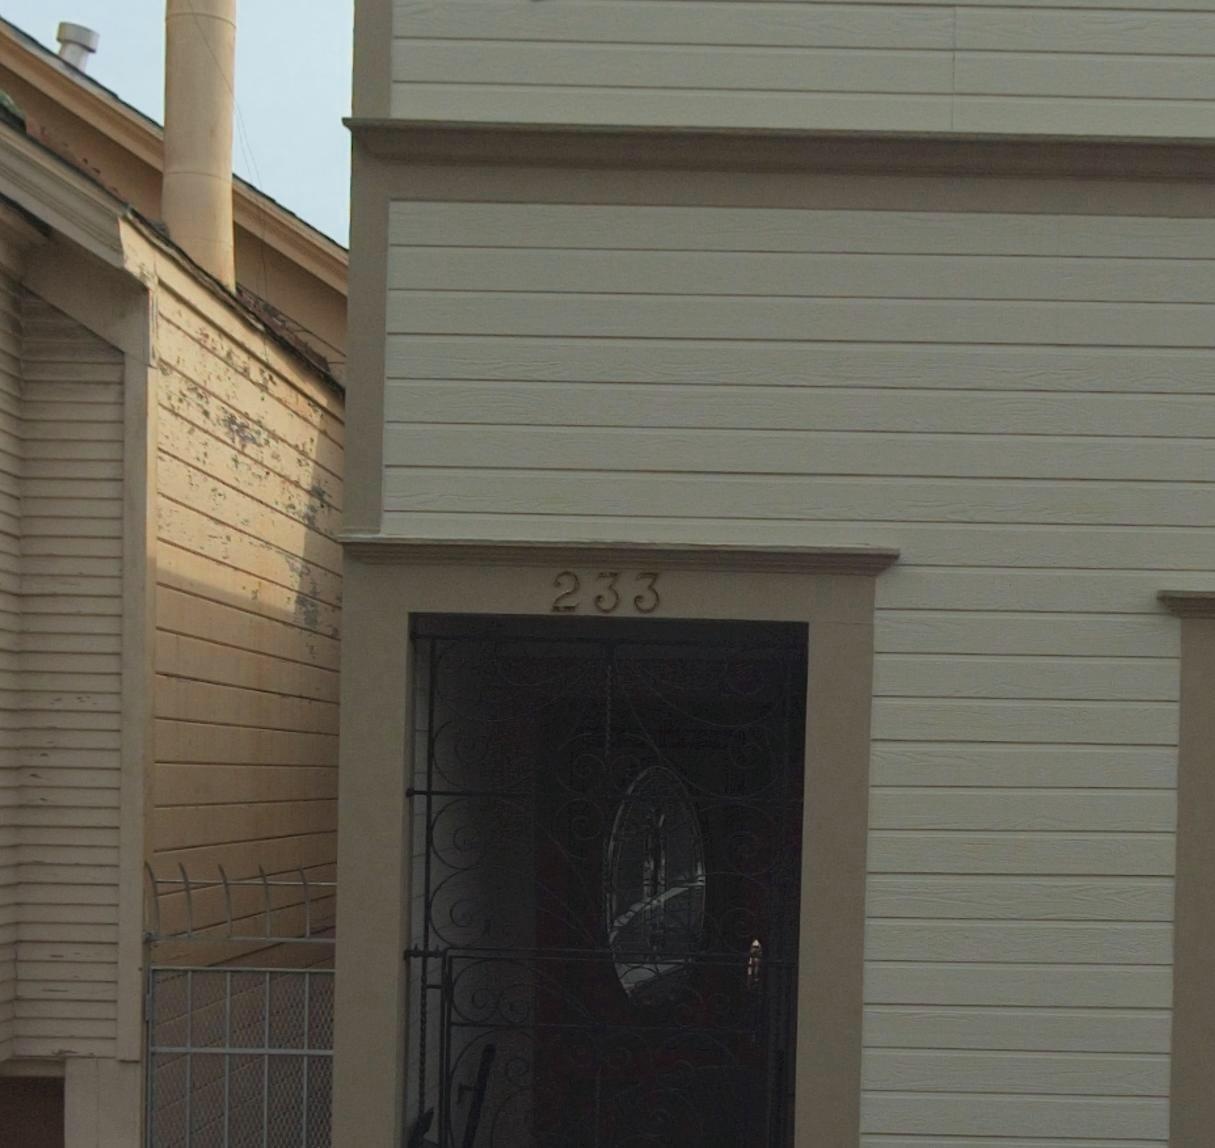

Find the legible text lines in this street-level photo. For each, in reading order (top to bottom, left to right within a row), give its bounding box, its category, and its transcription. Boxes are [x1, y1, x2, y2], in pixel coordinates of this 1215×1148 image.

[550, 569, 662, 615] StreetNumber: 233